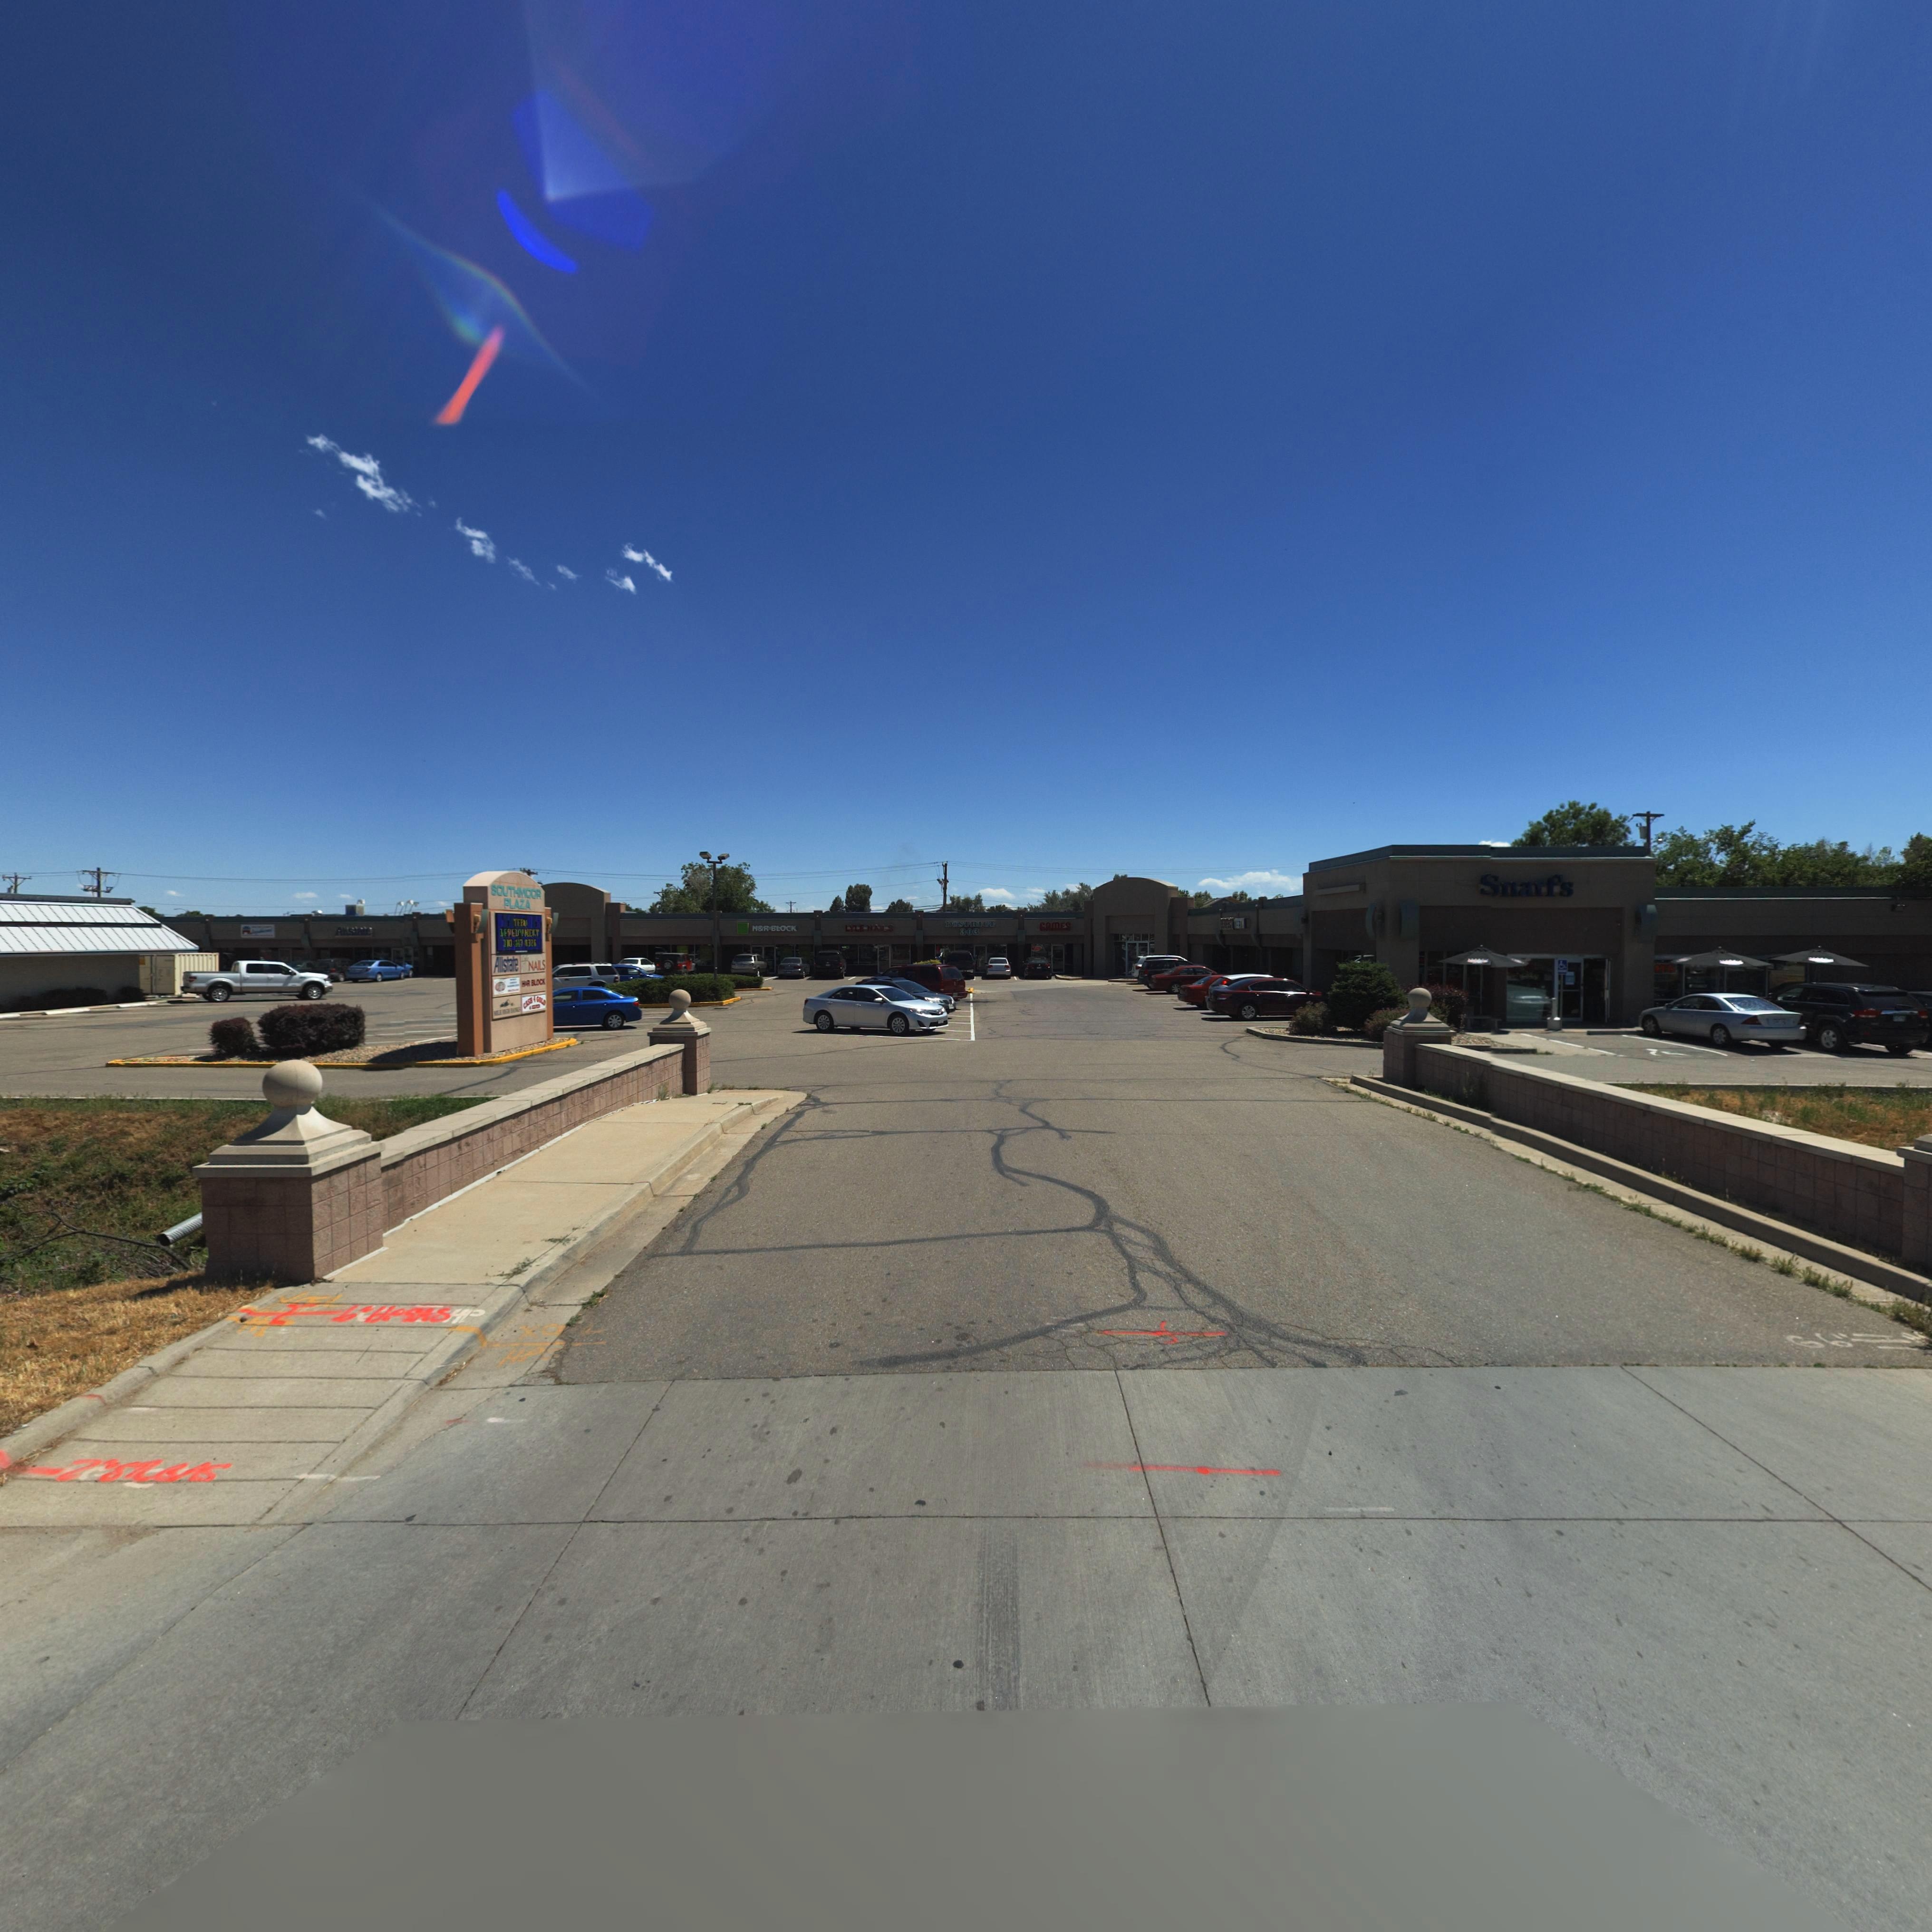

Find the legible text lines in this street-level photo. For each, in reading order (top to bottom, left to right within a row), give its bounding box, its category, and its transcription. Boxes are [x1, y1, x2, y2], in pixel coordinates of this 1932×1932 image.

[1478, 871, 1575, 898] BusinessName: Snarf'S
[334, 926, 372, 936] BusinessName: Allstate
[500, 927, 540, 937] BusinessName: *E*E**NE**
[512, 918, 528, 926] BusinessName: T*****
[752, 925, 797, 931] BusinessName: H*R BLOCK
[845, 924, 894, 932] BusinessName: LYLE NAILS
[945, 921, 995, 927] BusinessName: I**STR***
[1219, 918, 1244, 929] BusinessName: *E**** TEE**
[493, 956, 519, 974] BusinessName: Allstate
[520, 955, 530, 965] BusinessName: L***
[528, 959, 546, 971] BusinessName: NAILS
[521, 978, 545, 987] BusinessName: H*R BLOCK
[521, 995, 547, 1009] BusinessName: **SH 4 GOLD
[493, 1006, 521, 1016] BusinessName: M**E **** B***